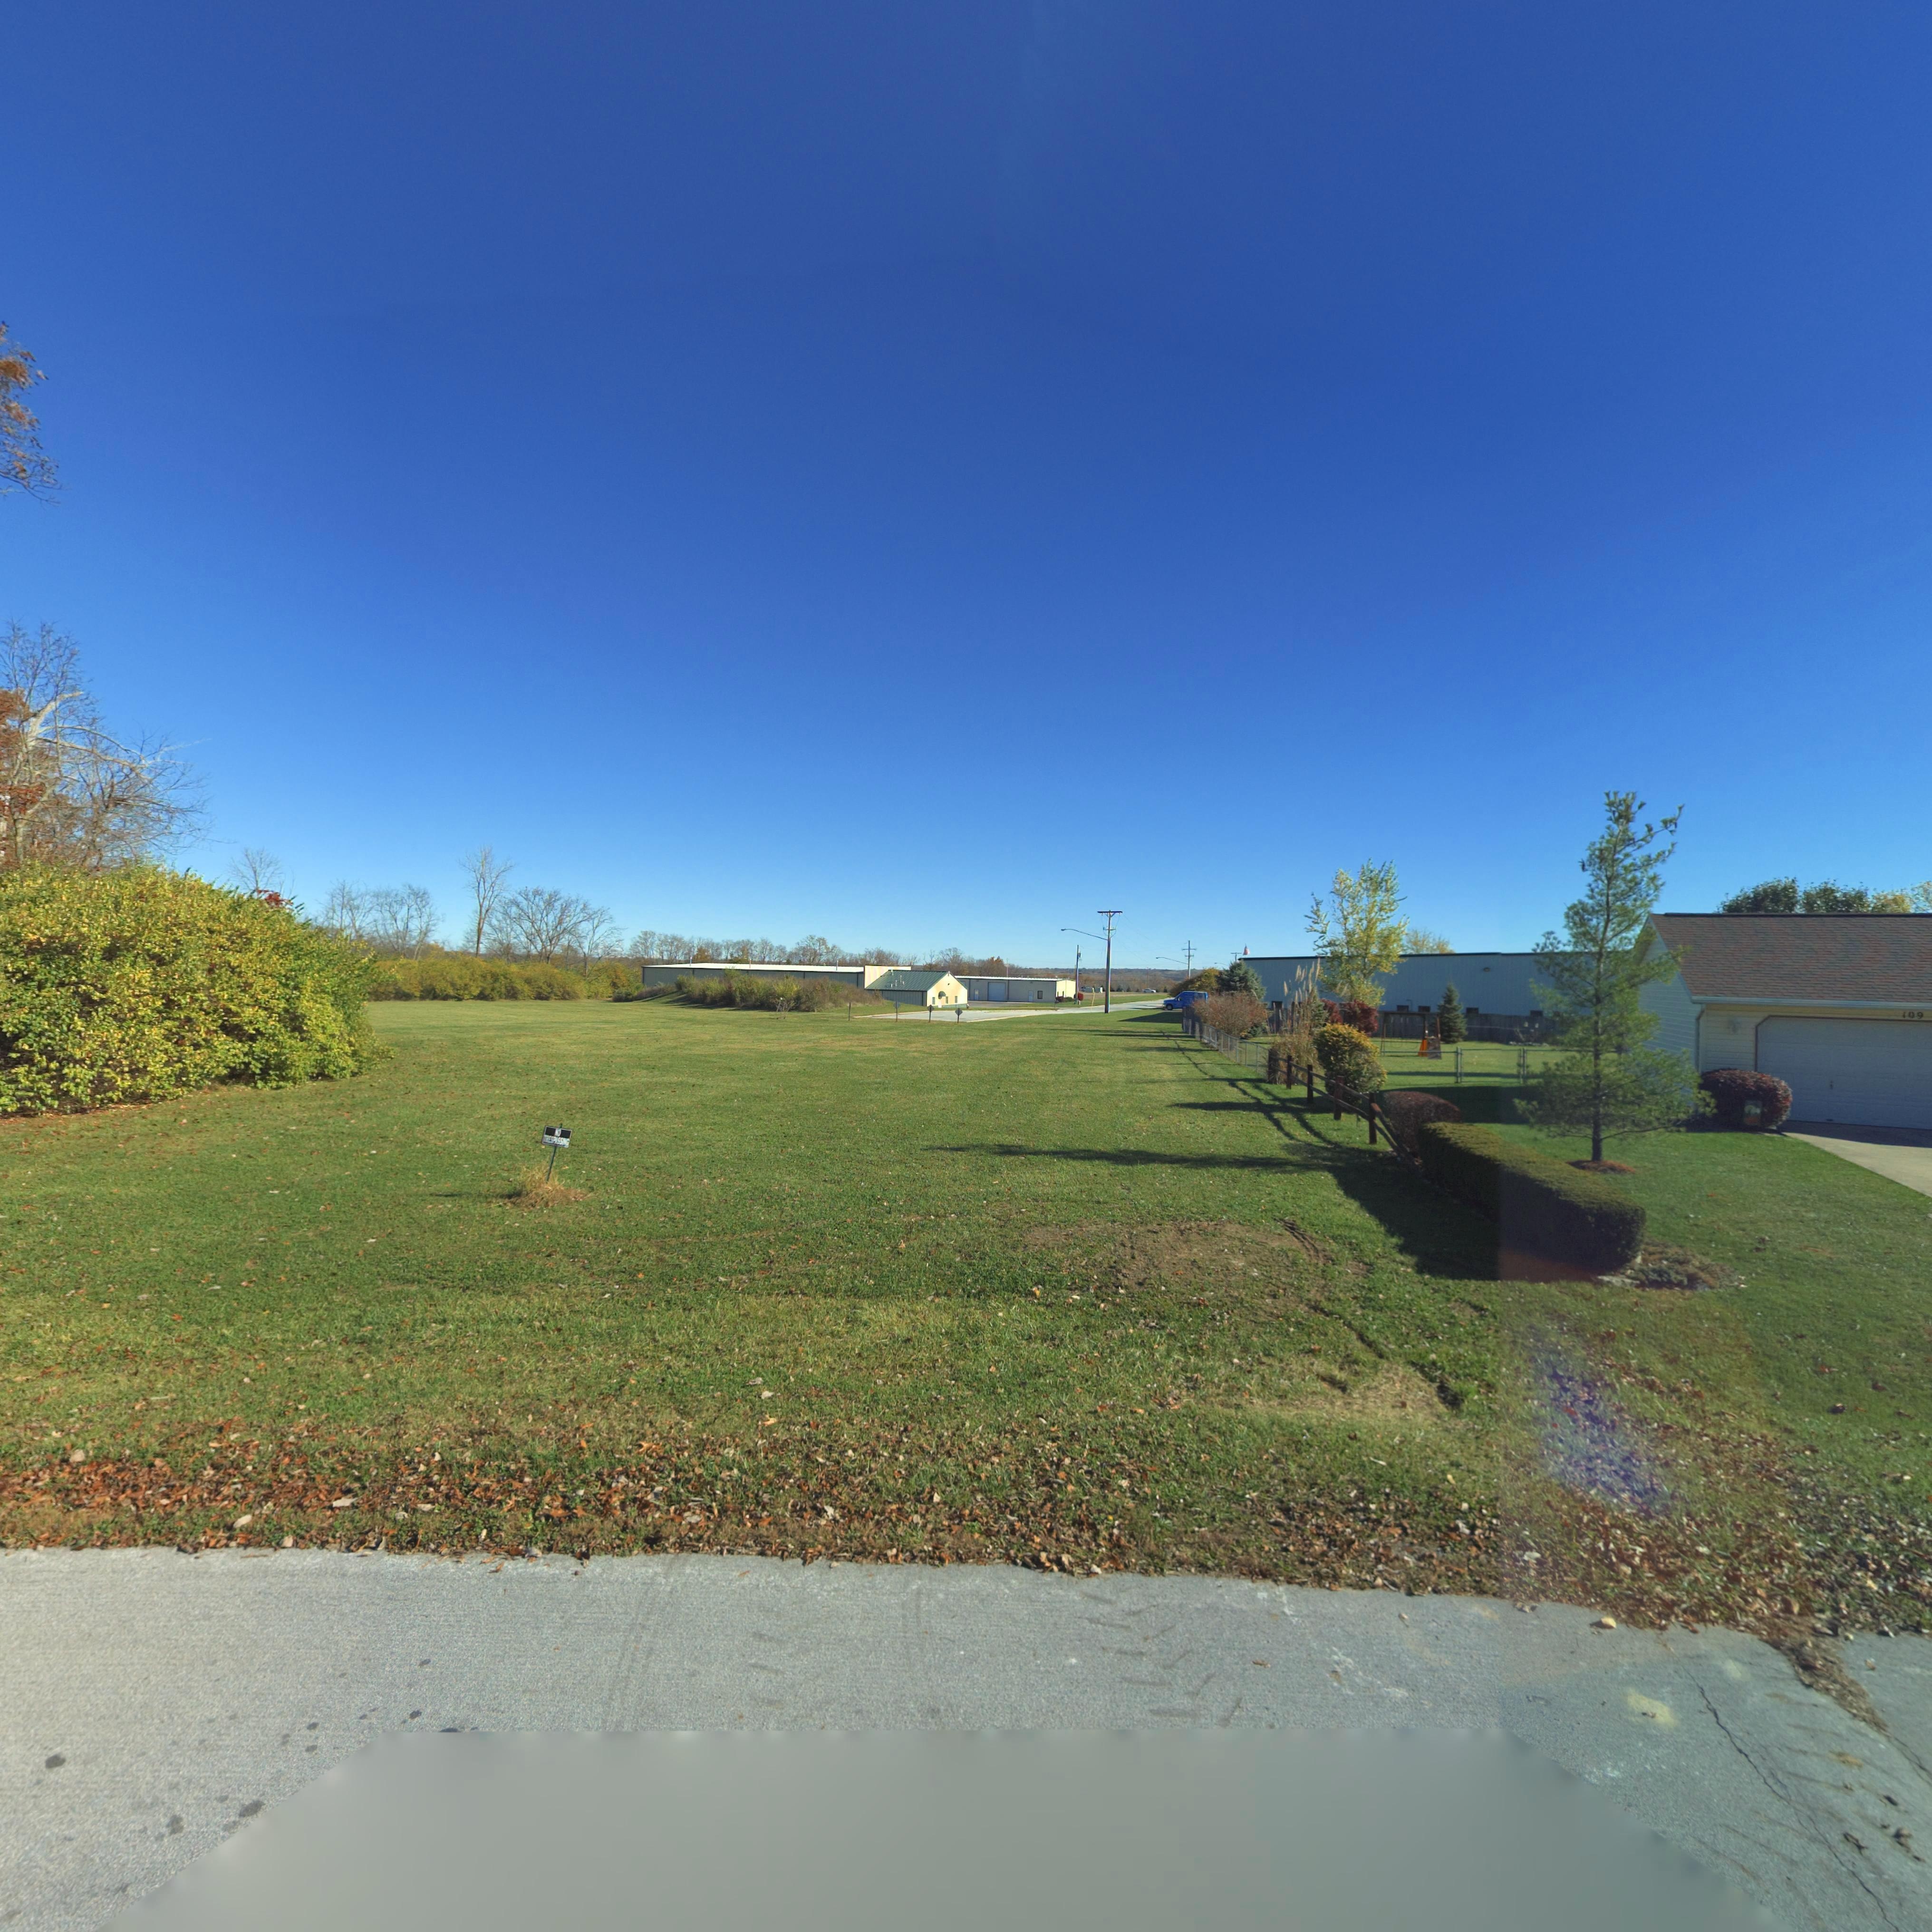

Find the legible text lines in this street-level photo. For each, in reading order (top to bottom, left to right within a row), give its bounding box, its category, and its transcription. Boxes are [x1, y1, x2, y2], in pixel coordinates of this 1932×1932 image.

[1902, 1010, 1924, 1020] StreetNumber: 109